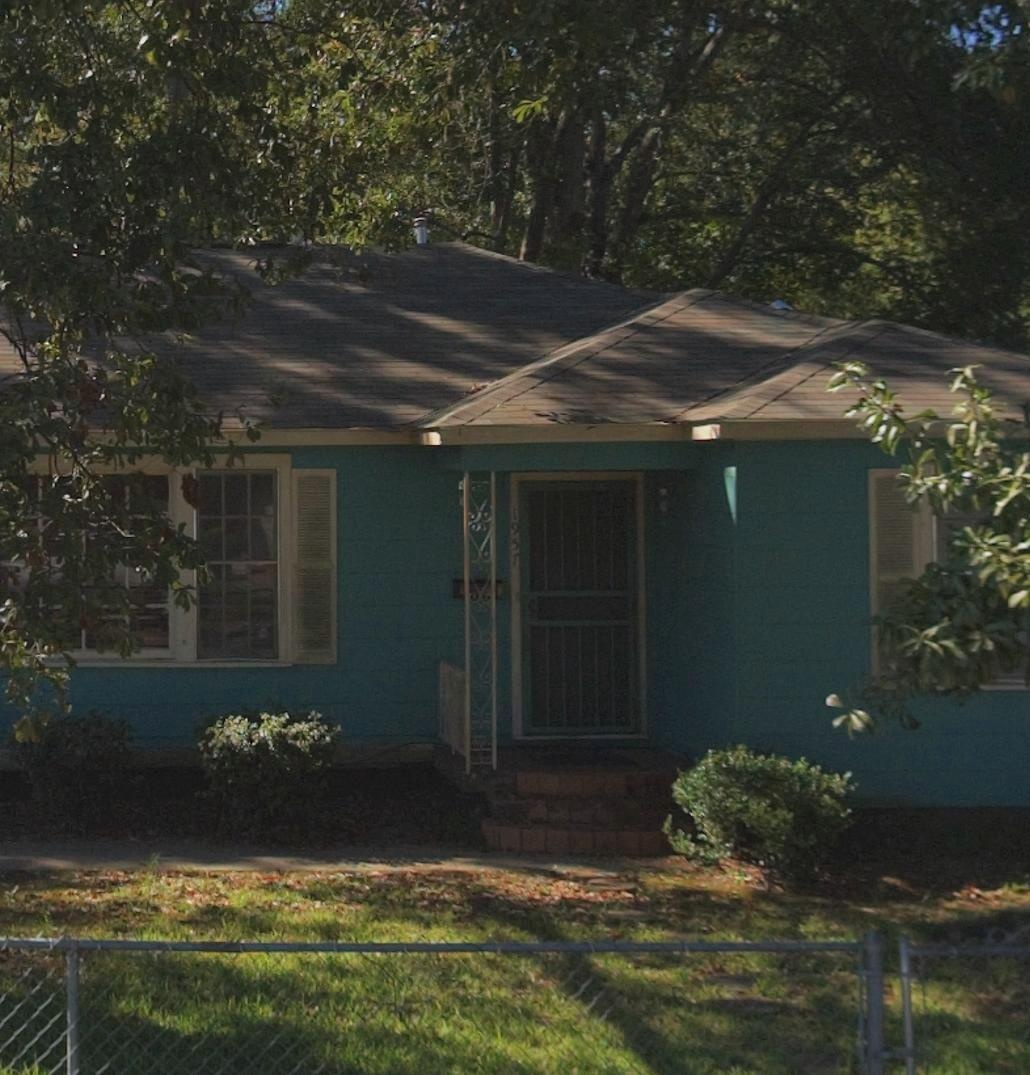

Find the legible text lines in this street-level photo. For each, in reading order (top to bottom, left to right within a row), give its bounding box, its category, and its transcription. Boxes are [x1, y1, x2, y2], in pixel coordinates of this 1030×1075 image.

[509, 507, 520, 566] StreetNumber: 1957